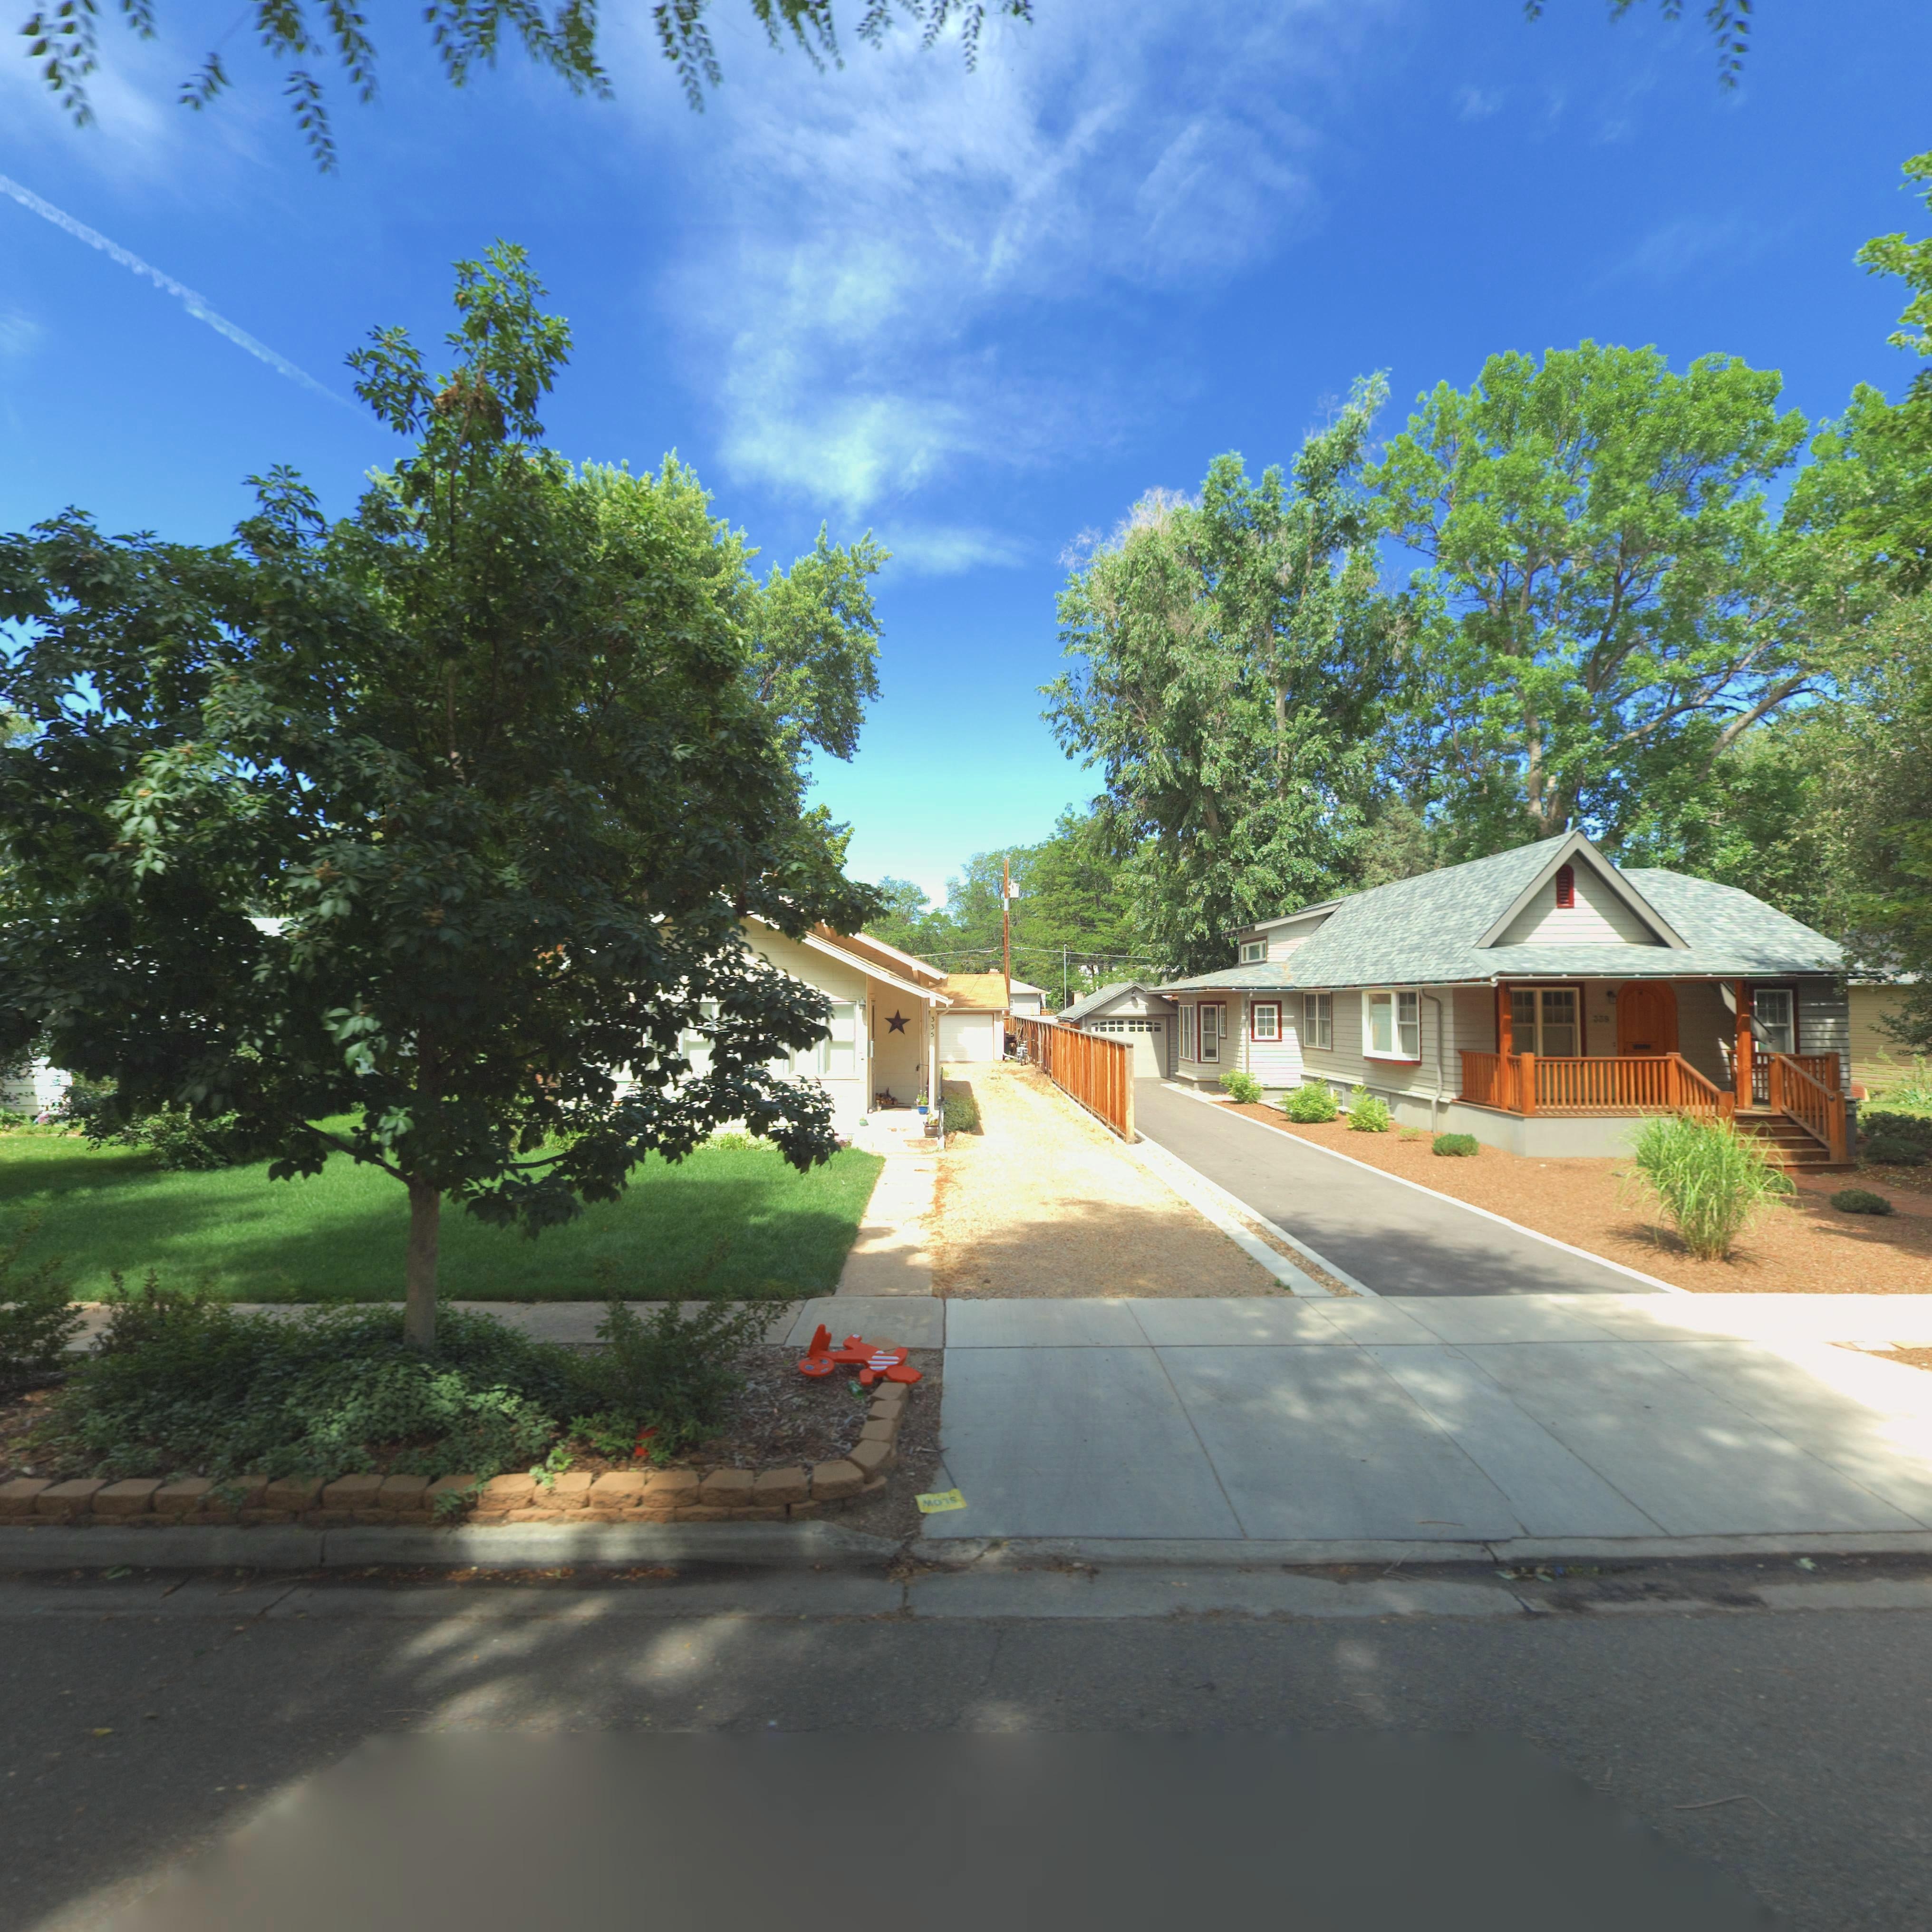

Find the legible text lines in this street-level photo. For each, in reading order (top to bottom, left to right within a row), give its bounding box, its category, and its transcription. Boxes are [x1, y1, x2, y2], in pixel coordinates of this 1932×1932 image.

[930, 1016, 934, 1037] StreetNumber: 335
[1593, 1015, 1609, 1023] StreetNumber: 339